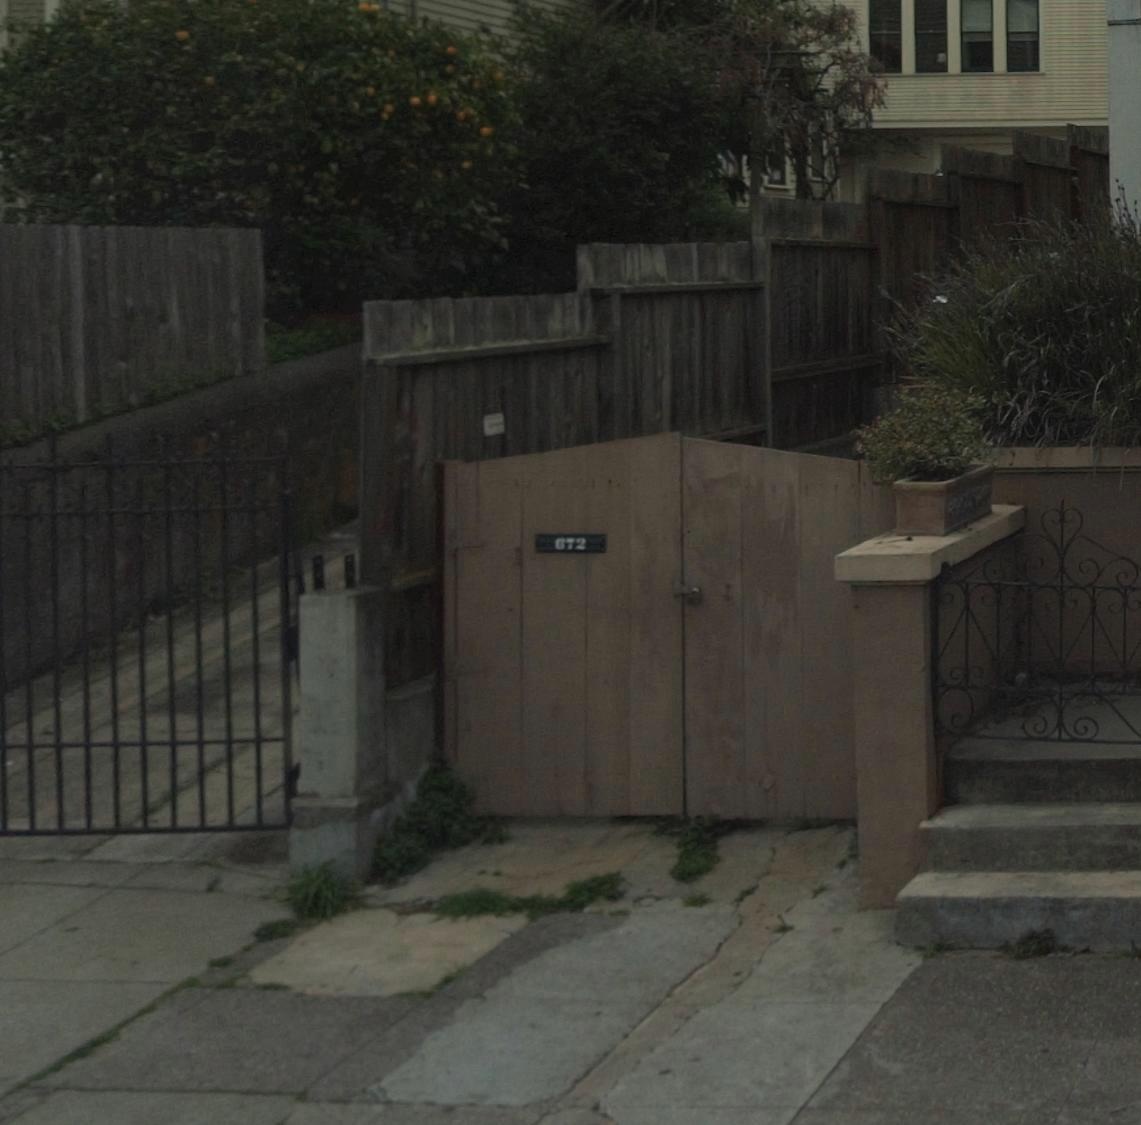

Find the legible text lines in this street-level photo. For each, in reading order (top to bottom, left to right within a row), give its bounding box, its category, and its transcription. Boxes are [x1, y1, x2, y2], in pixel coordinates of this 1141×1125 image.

[554, 536, 587, 551] StreetNumber: 672